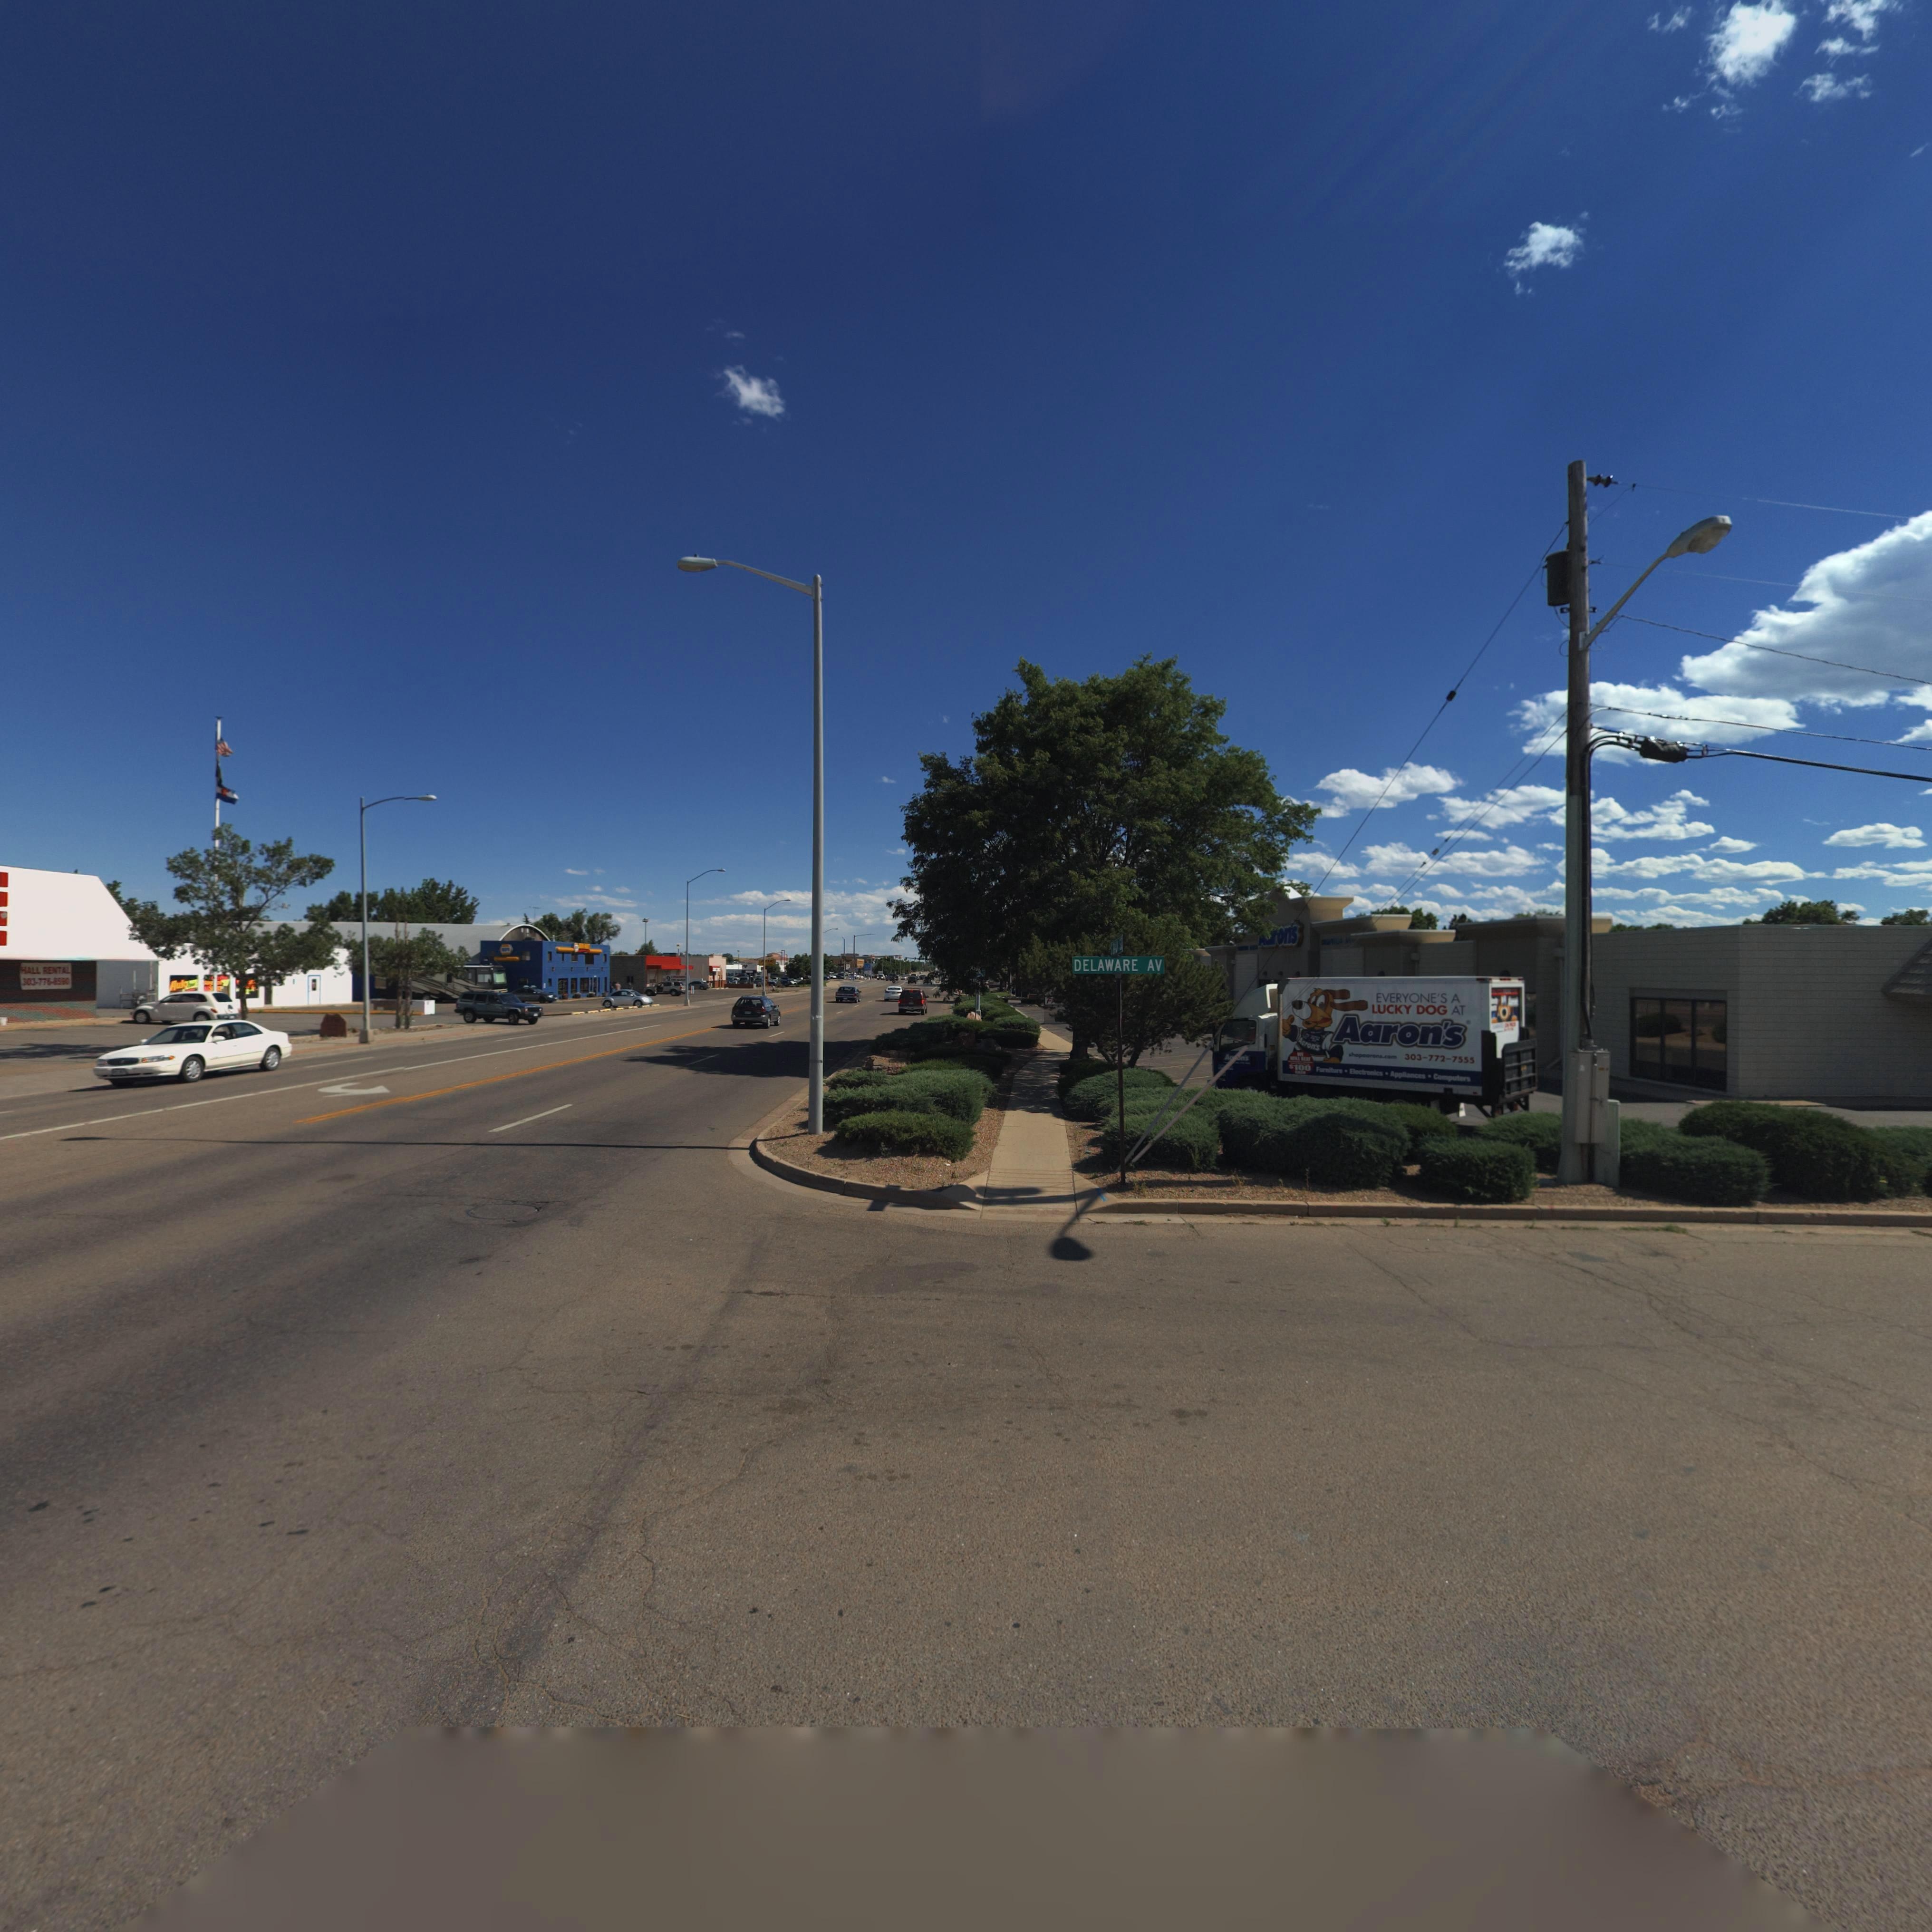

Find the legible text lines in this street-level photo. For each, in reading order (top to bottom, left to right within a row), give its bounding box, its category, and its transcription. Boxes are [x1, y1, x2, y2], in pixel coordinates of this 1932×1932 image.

[1256, 921, 1298, 946] BusinessName: **ron's
[1112, 936, 1123, 955] StreetName: **** ST
[1074, 958, 1163, 972] StreetName: DELAWARE AV
[1046, 997, 1053, 1004] BusinessName: F